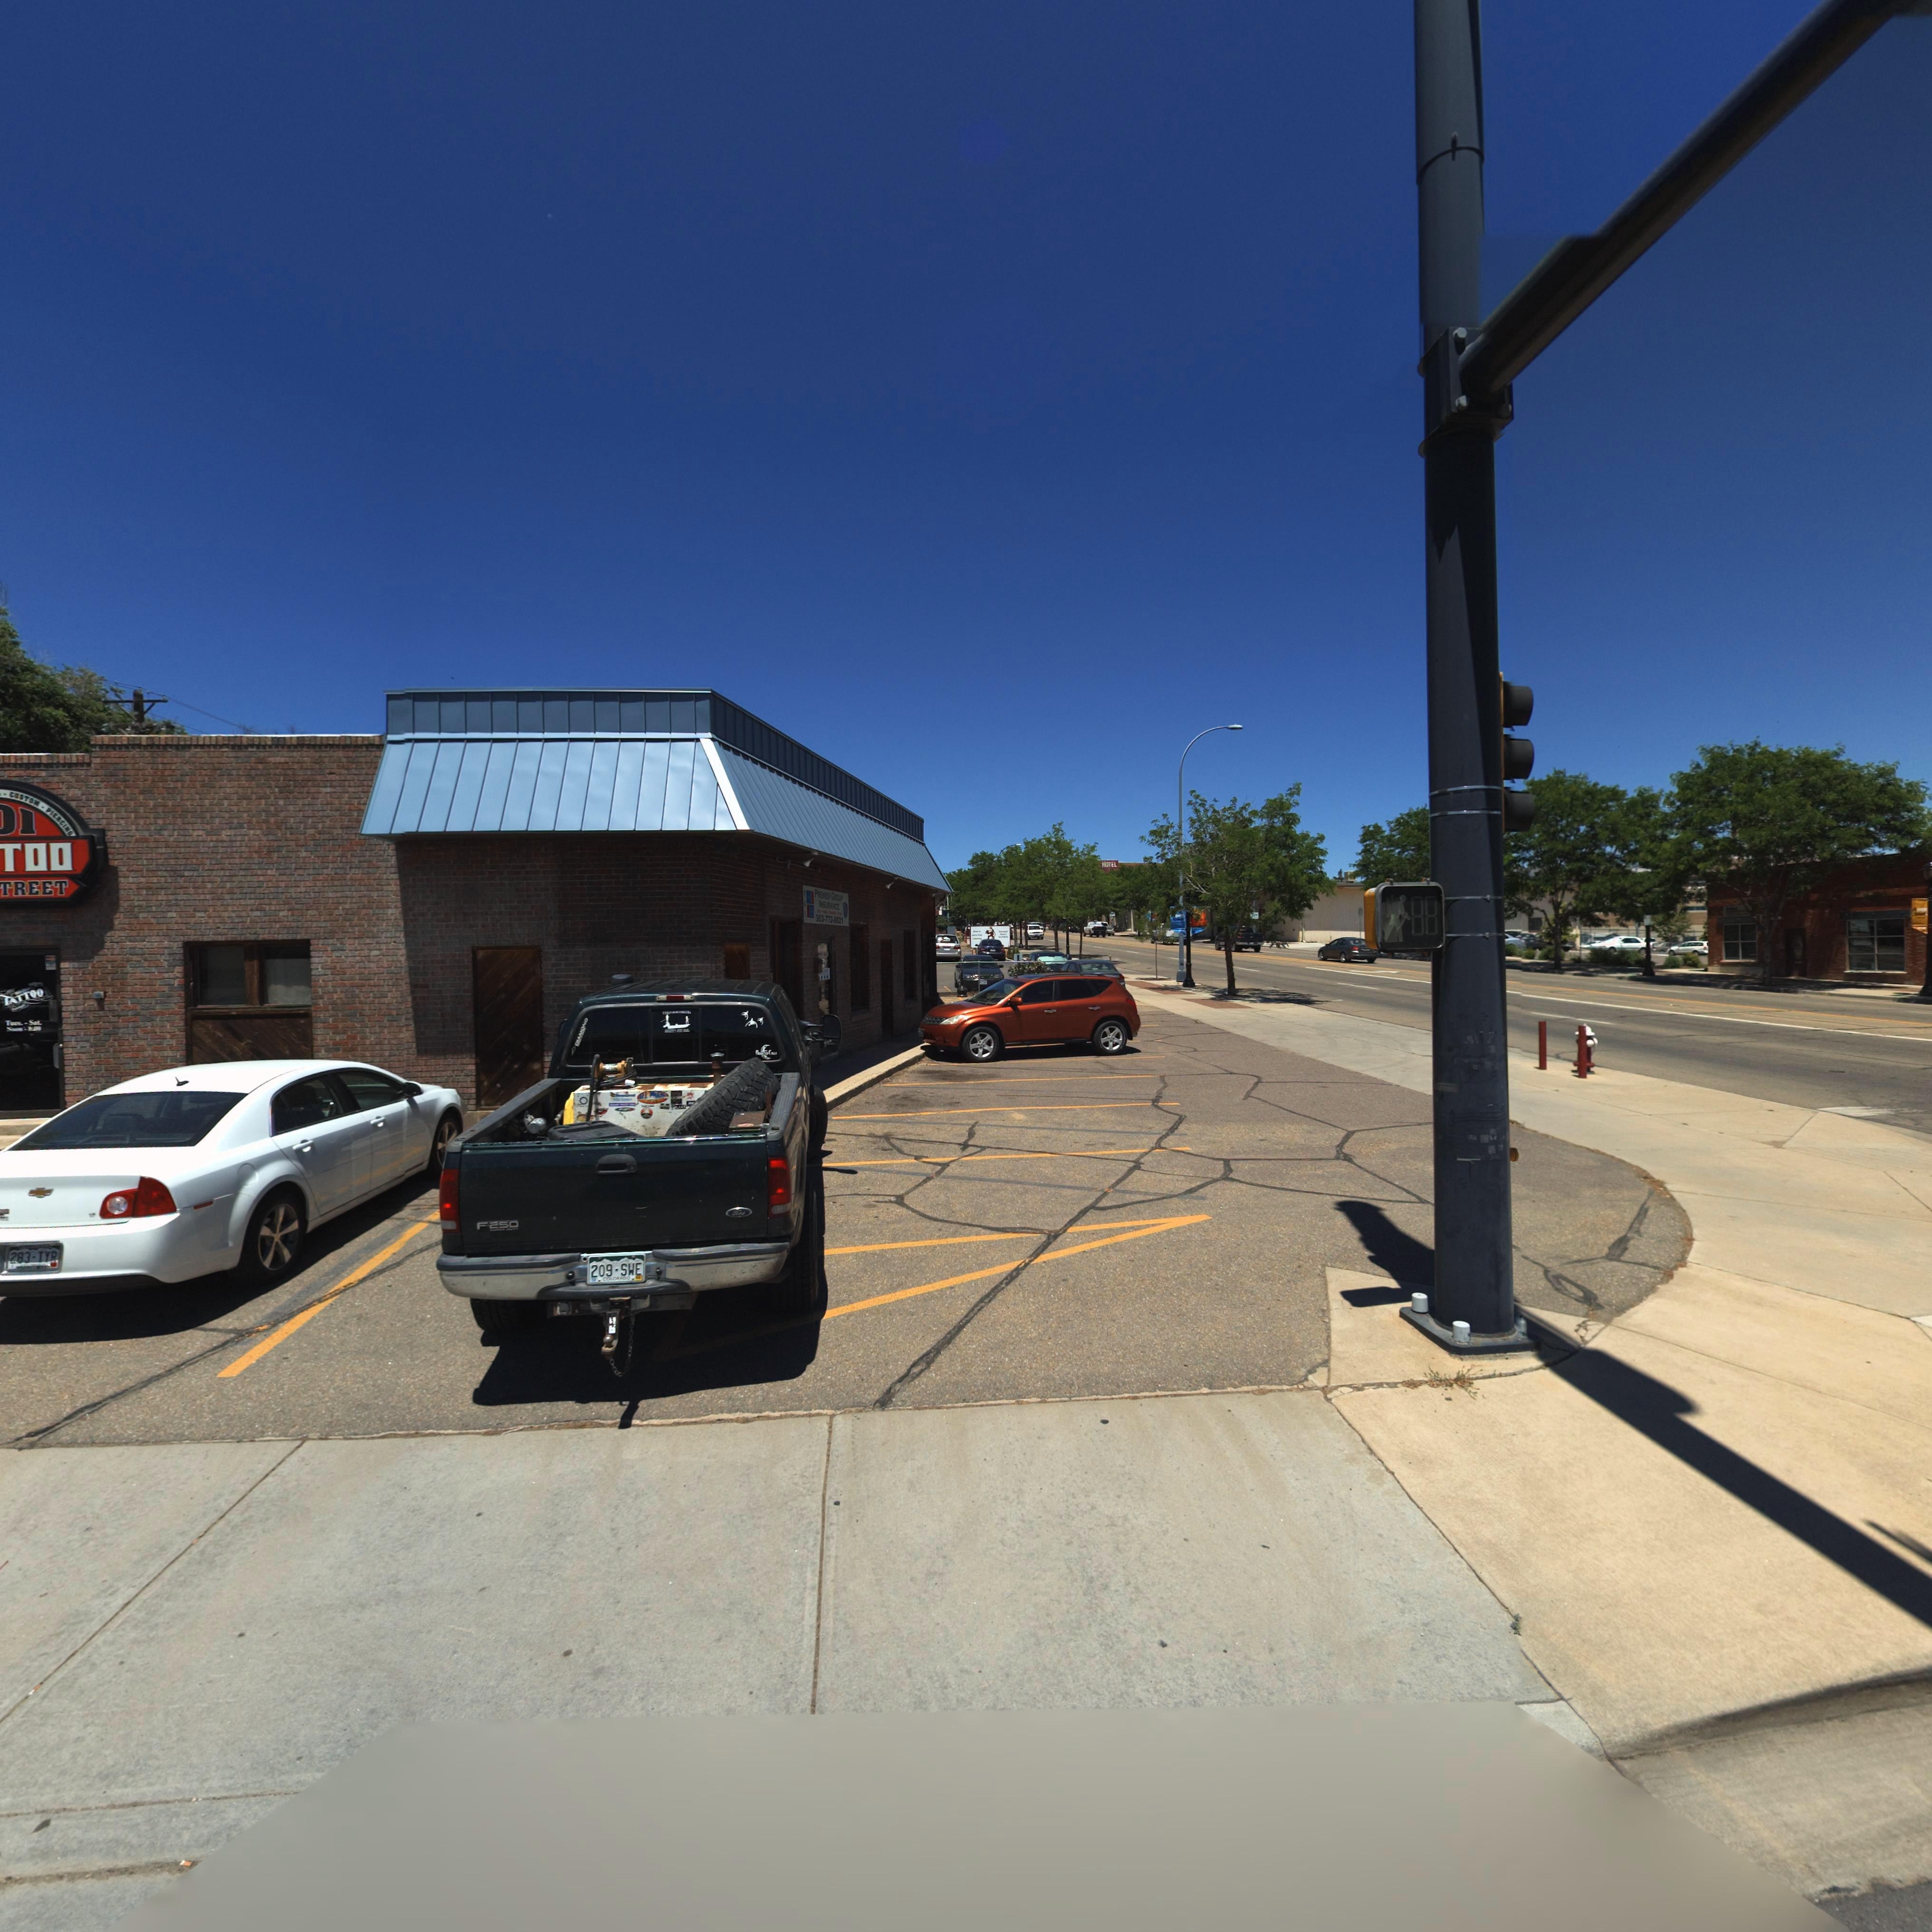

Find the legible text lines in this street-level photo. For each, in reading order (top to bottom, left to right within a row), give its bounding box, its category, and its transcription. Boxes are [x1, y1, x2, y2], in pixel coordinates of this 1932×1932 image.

[19, 807, 36, 834] StreetNumber: 1
[0, 841, 75, 872] BusinessName: TOO
[1101, 861, 1117, 867] BusinessName: HOTEL
[0, 880, 67, 896] BusinessName: TREET
[803, 889, 806, 918] BusinessName: PGI
[814, 889, 843, 902] BusinessName: PREM*ER GR**P
[819, 898, 840, 910] BusinessName: INSUR*NCE
[0, 987, 44, 1006] BusinessName: TATTOO